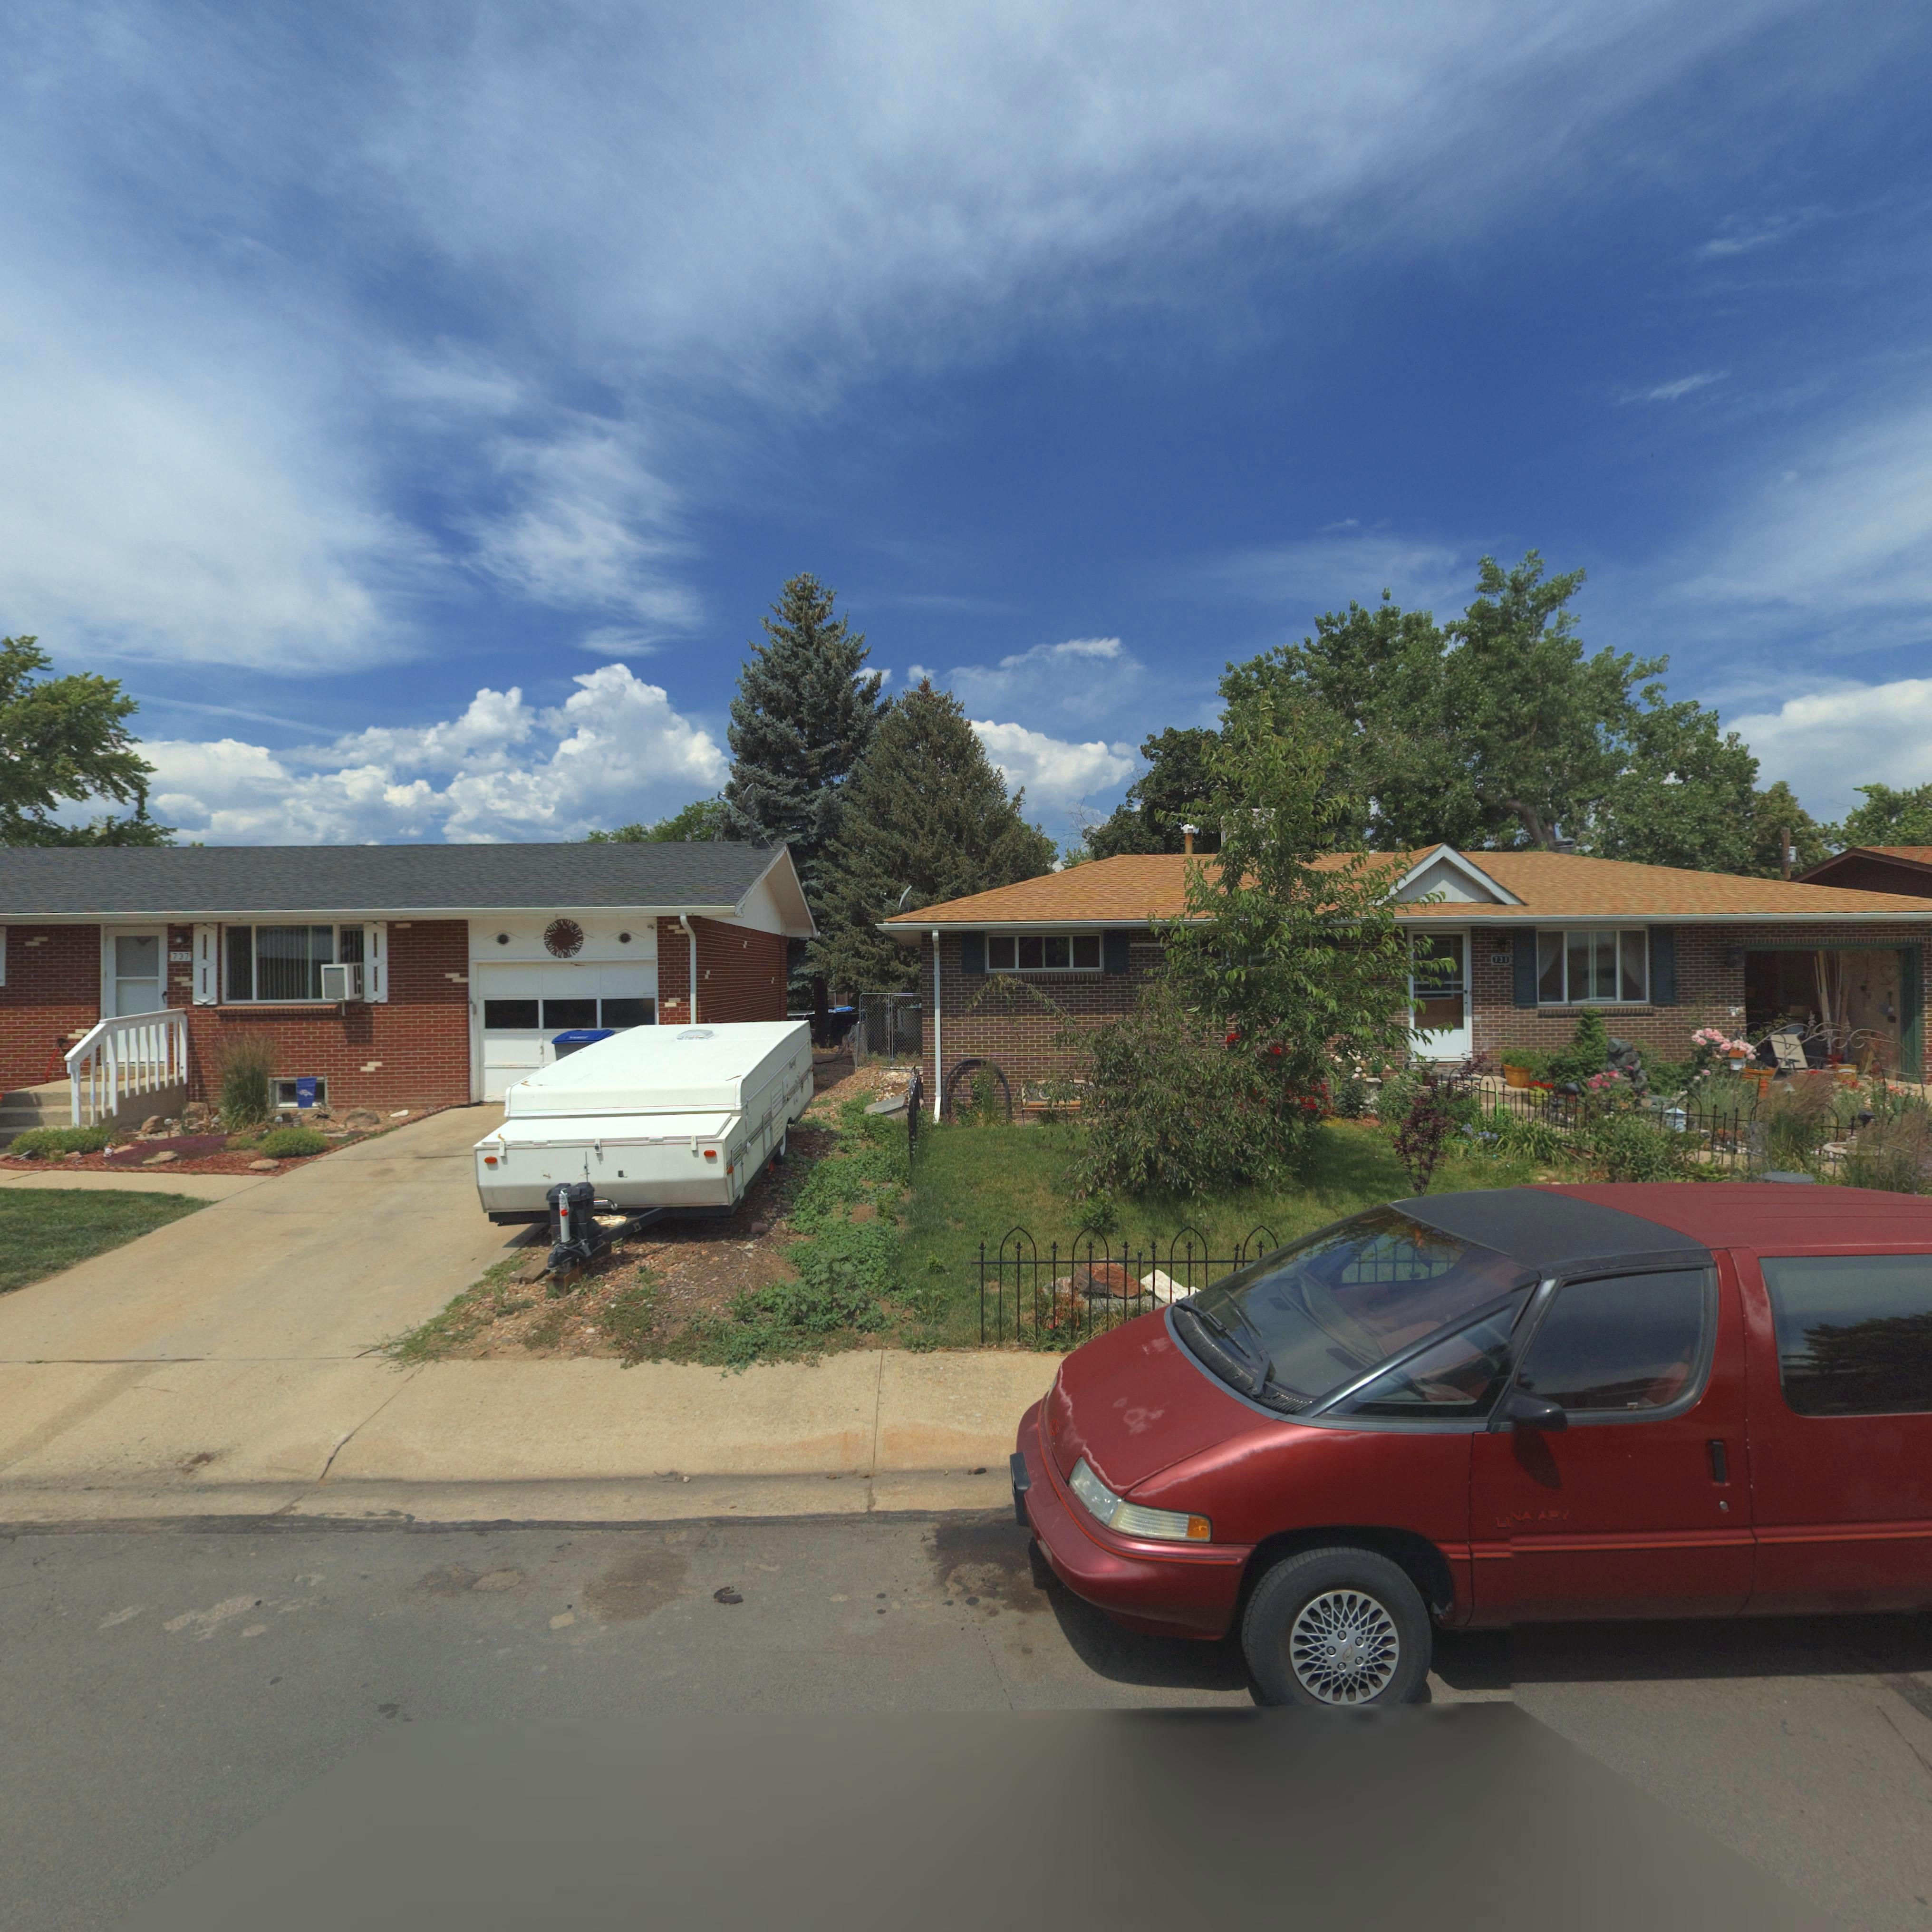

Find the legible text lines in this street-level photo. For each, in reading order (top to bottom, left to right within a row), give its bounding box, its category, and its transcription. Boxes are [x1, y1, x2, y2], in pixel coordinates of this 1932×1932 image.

[172, 952, 190, 960] StreetNumber: 737
[1493, 956, 1509, 963] StreetNumber: 731